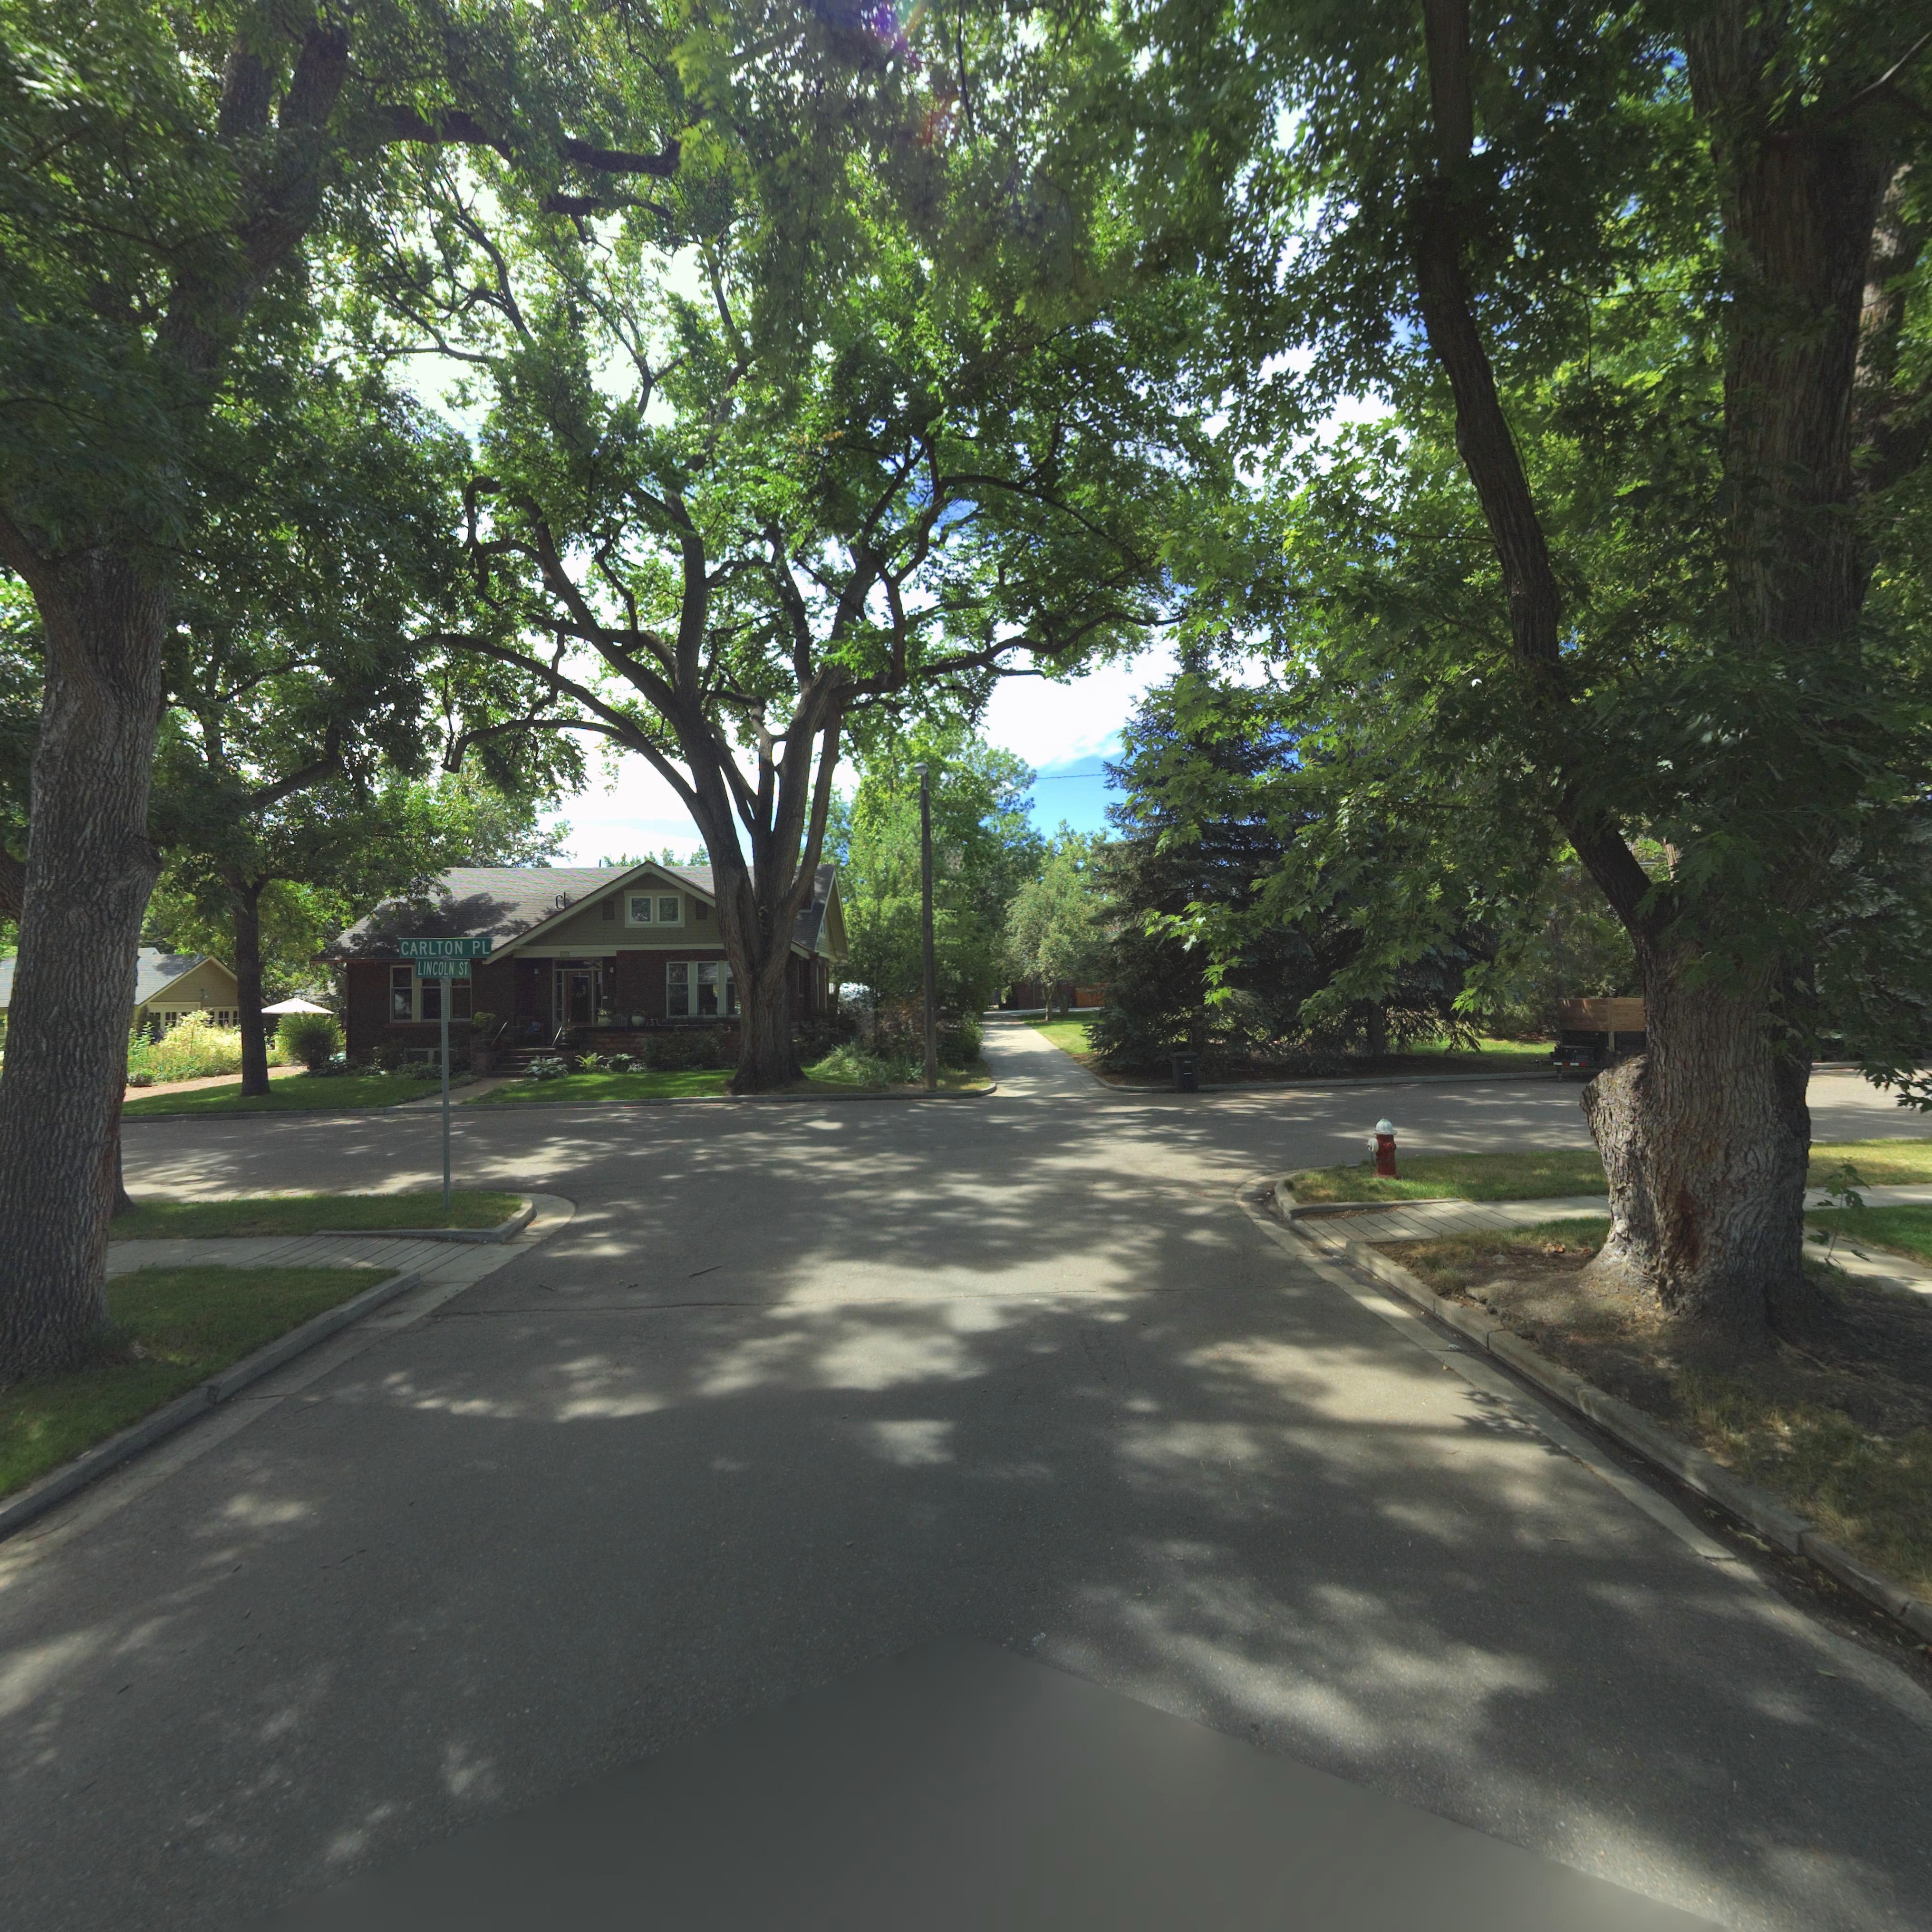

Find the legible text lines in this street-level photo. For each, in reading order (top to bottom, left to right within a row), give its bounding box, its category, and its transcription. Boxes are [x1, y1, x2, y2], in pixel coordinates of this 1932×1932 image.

[401, 940, 490, 955] StreetName: CARLTON PL
[560, 951, 569, 956] StreetNumber: 1221
[418, 961, 468, 975] StreetName: LINCOLN ST